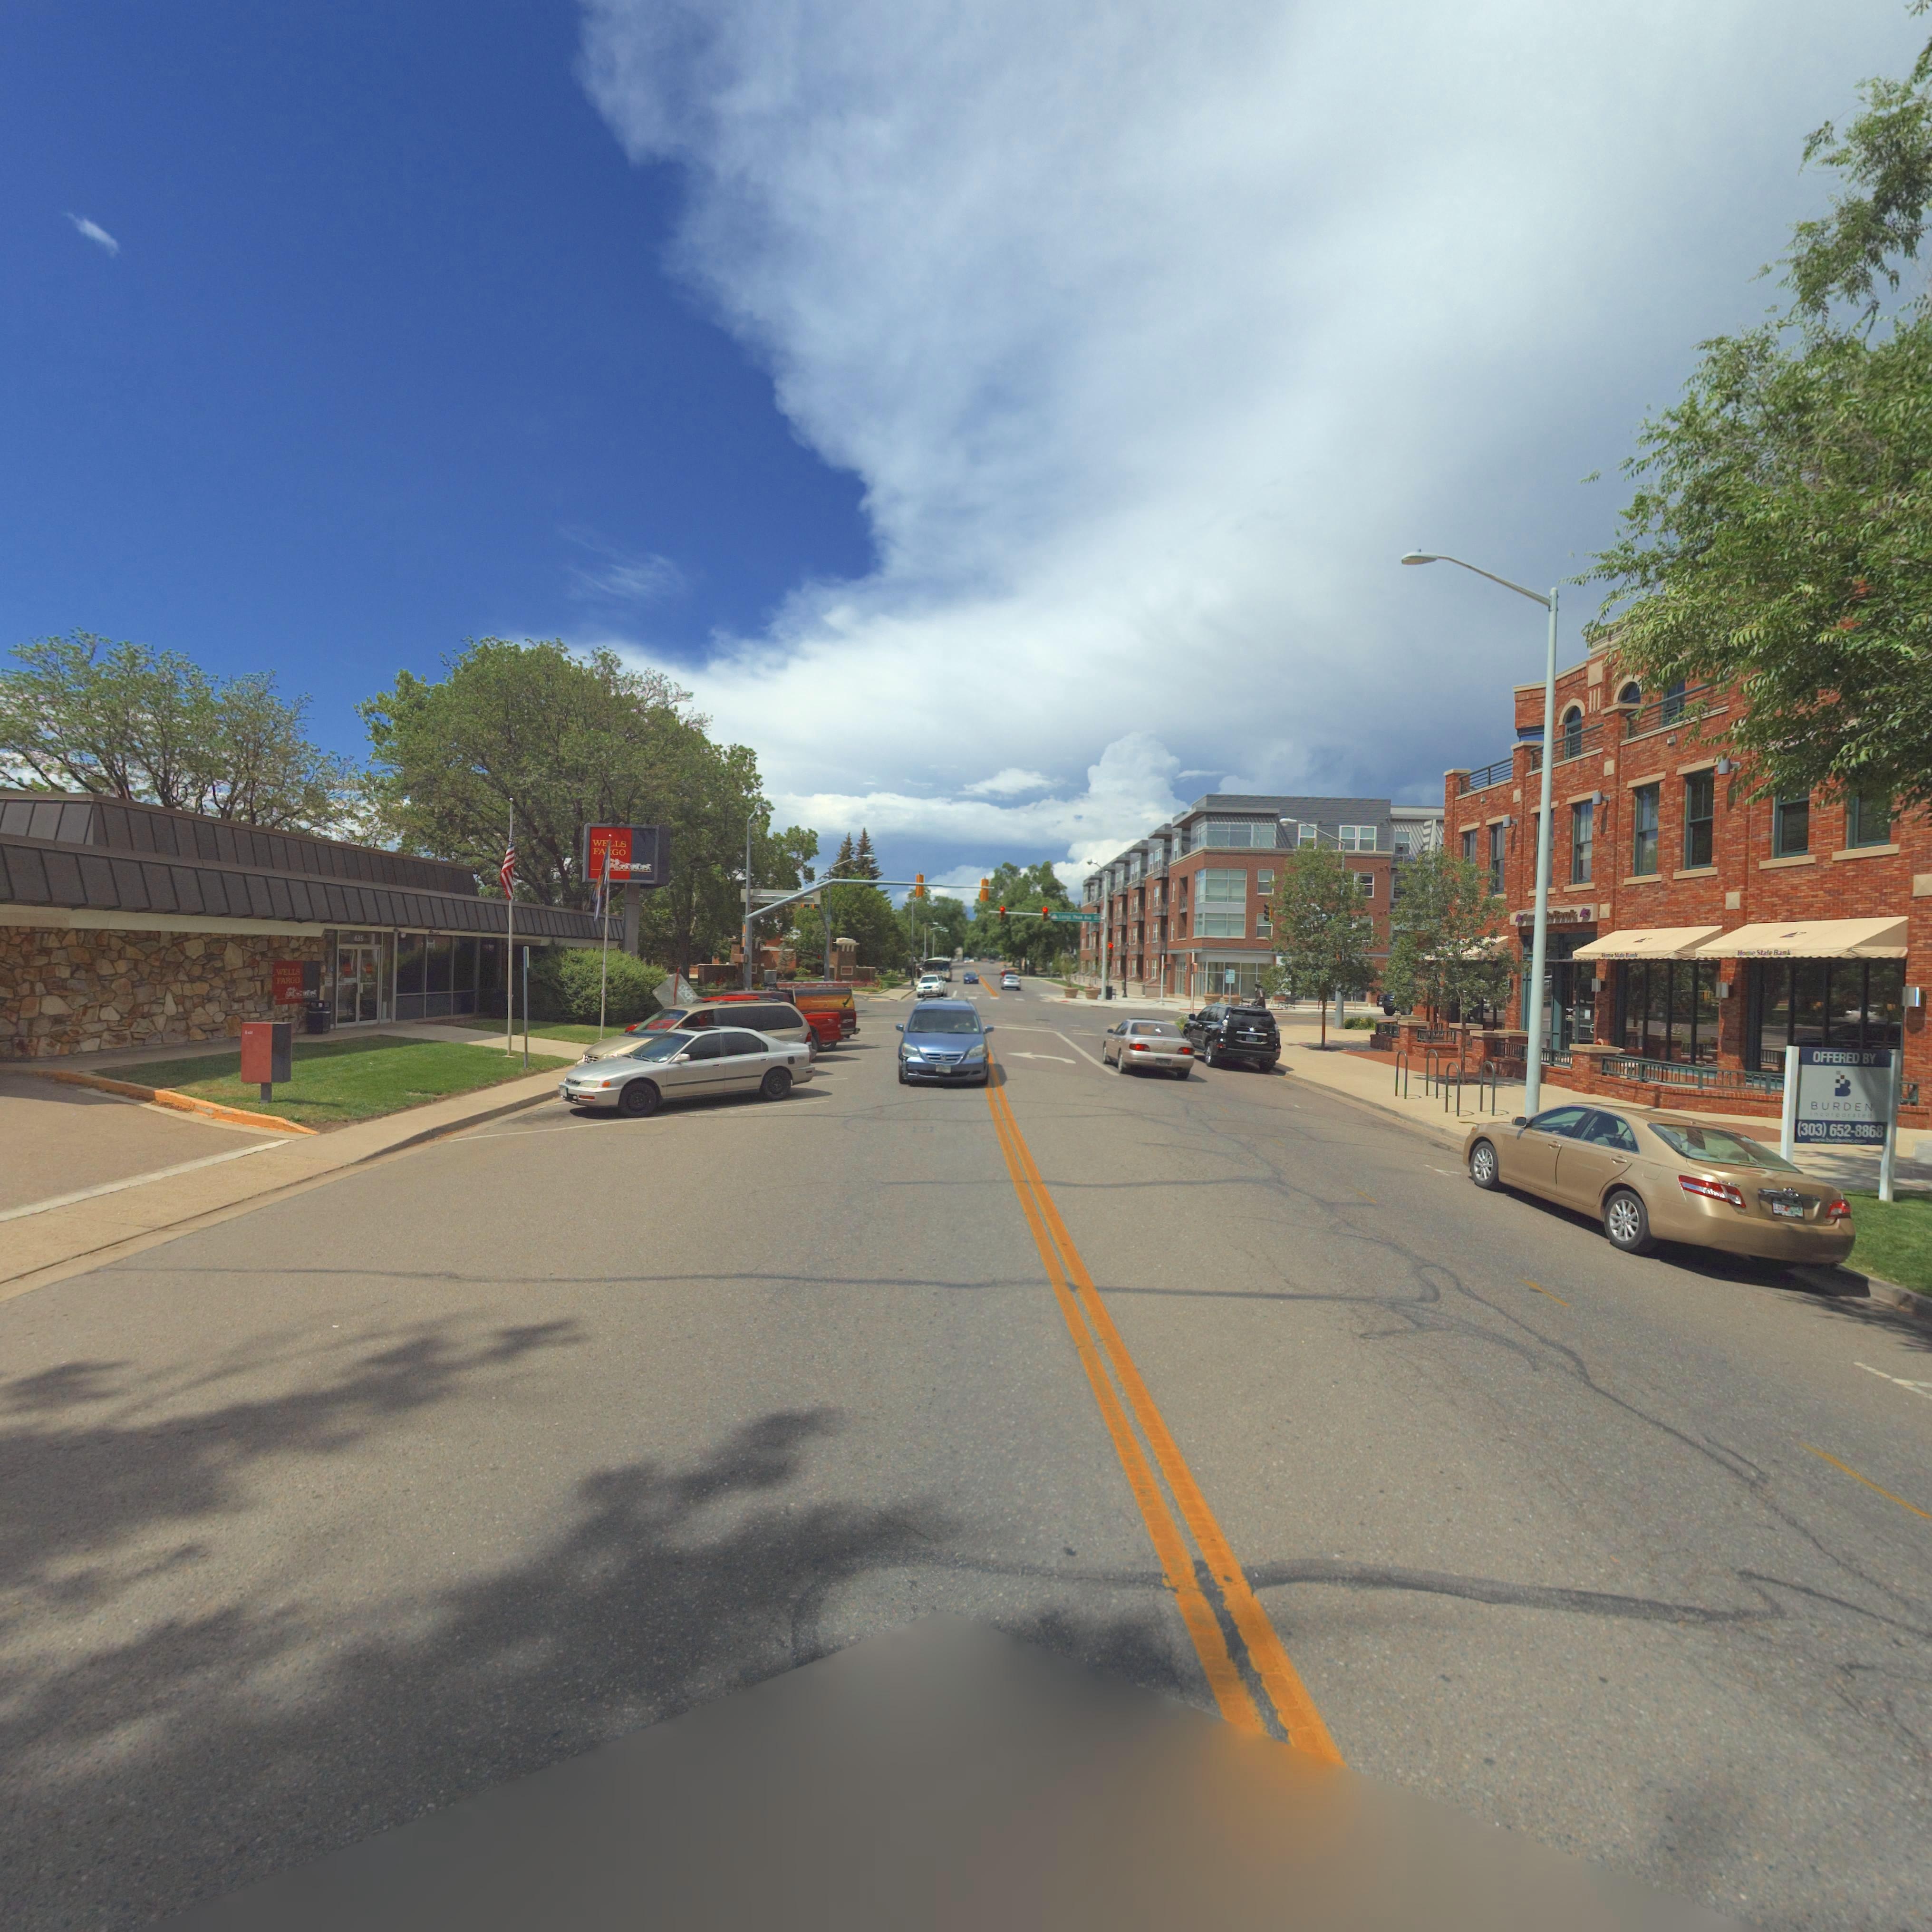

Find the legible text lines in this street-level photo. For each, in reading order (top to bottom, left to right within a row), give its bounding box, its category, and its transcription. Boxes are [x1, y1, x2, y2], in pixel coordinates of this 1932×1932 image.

[591, 839, 627, 848] BusinessName: WELLS
[592, 847, 626, 856] BusinessName: FA*GO
[1059, 914, 1092, 921] StreetName: L**gs P*a* Av*
[1522, 909, 1577, 922] BusinessName: **** ****e Bank
[353, 934, 364, 942] StreetNumber: 635
[1601, 952, 1639, 957] BusinessName: H**e S**** B**k
[1737, 948, 1792, 956] BusinessName: Ho*e State B**k
[275, 968, 301, 976] BusinessName: WELLS
[276, 976, 300, 985] BusinessName: FARGO